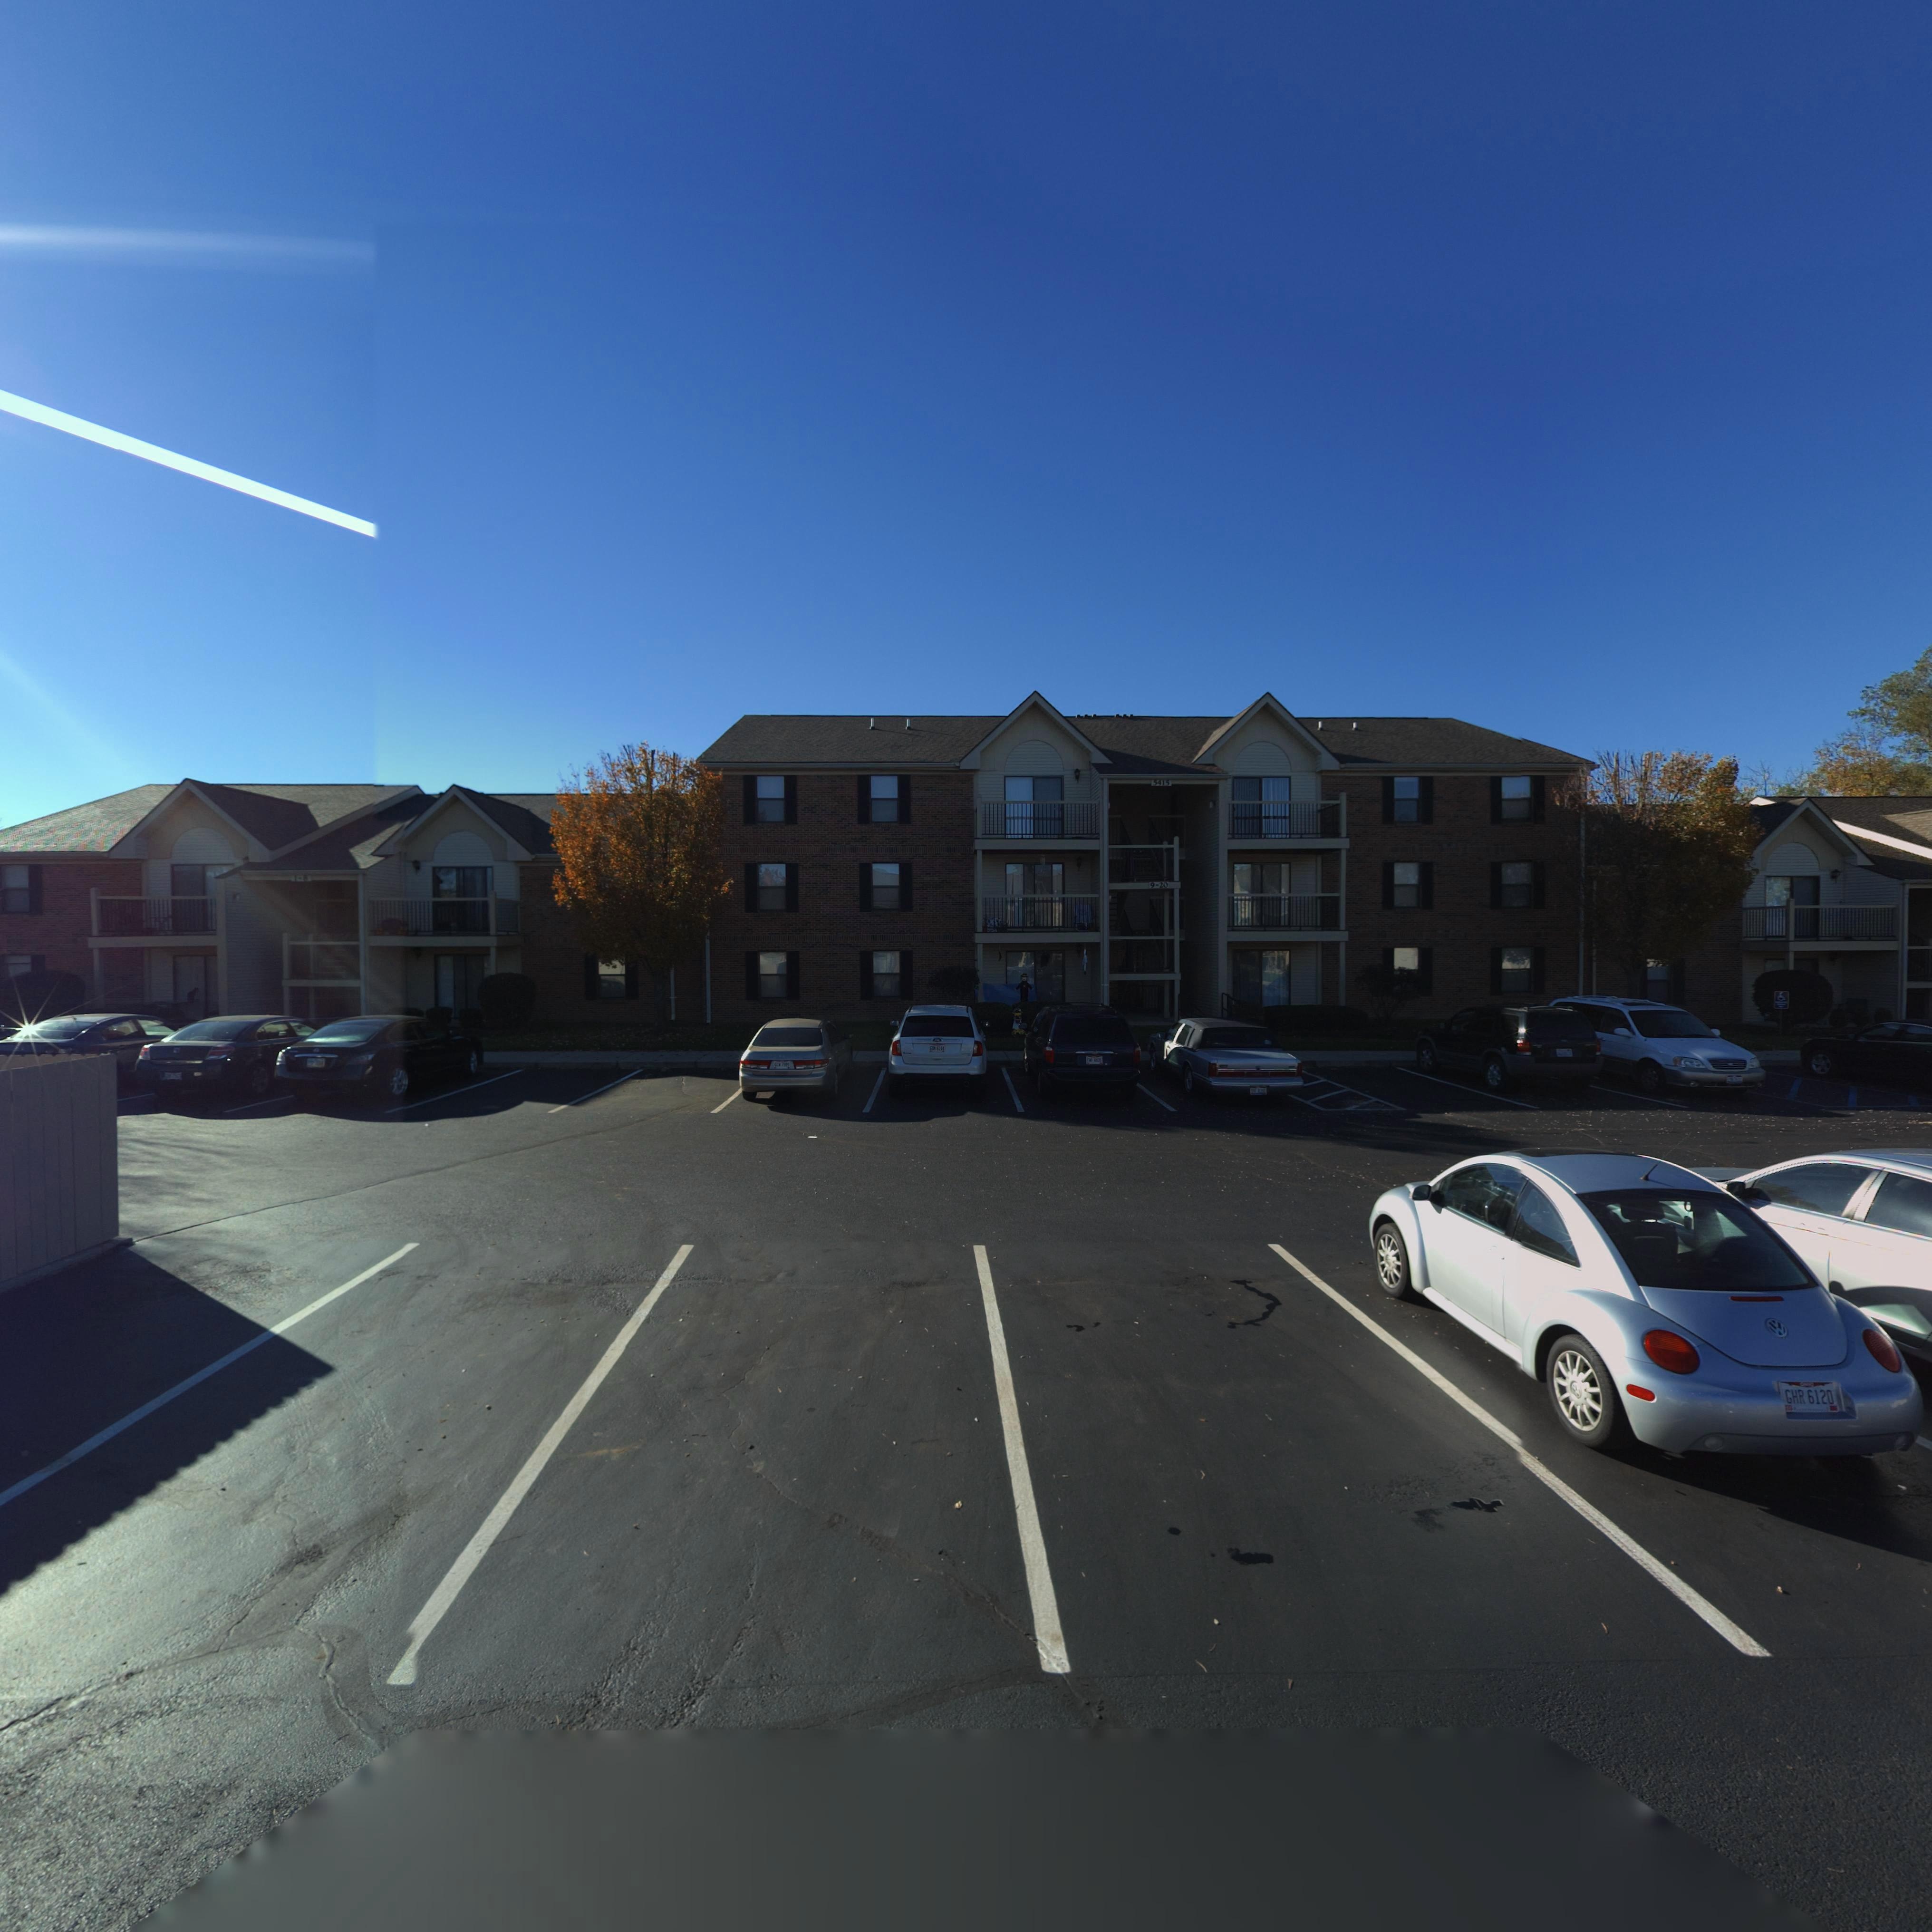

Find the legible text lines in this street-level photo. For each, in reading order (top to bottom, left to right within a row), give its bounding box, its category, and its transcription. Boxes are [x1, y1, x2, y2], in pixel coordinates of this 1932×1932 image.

[1153, 779, 1169, 786] StreetNumber: 5415
[293, 874, 309, 881] StreetNumber: 1-8
[1149, 881, 1169, 889] StreetNumber: 9-20